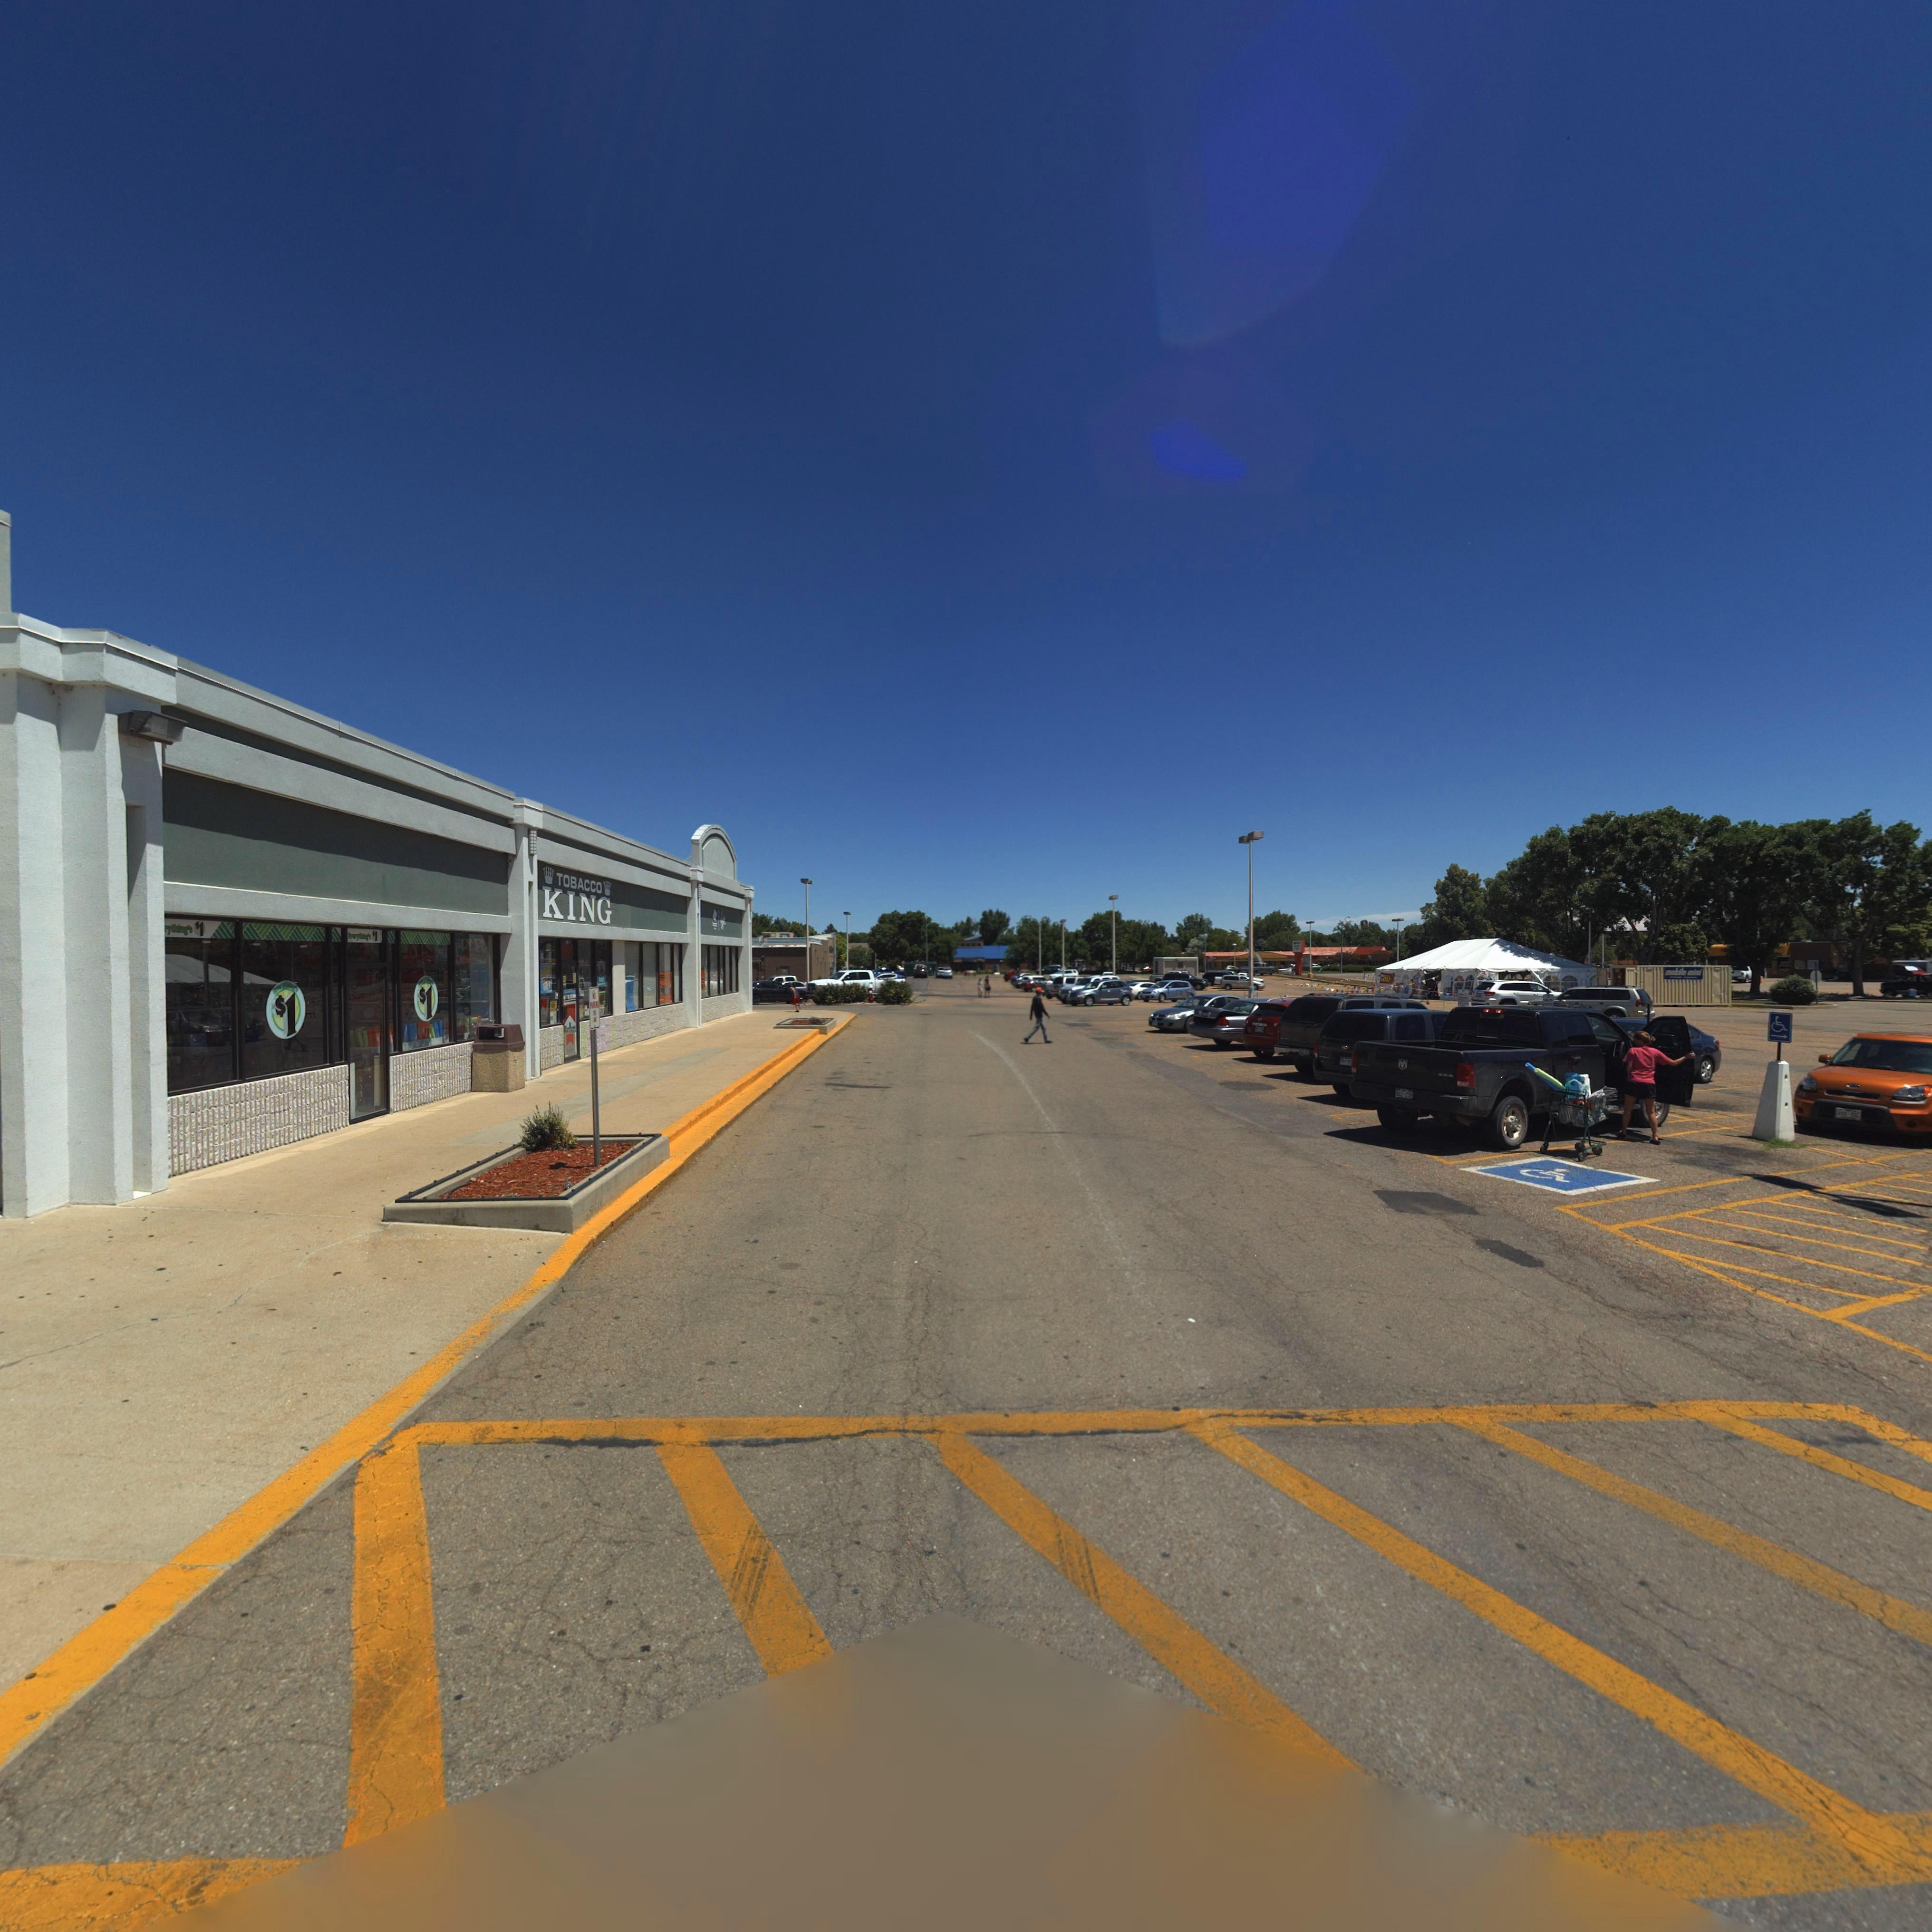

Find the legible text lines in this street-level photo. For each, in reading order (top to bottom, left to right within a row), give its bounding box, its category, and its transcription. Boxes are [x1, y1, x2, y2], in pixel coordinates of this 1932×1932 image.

[556, 871, 602, 894] BusinessName: TOBACCO
[542, 885, 612, 925] BusinessName: KING